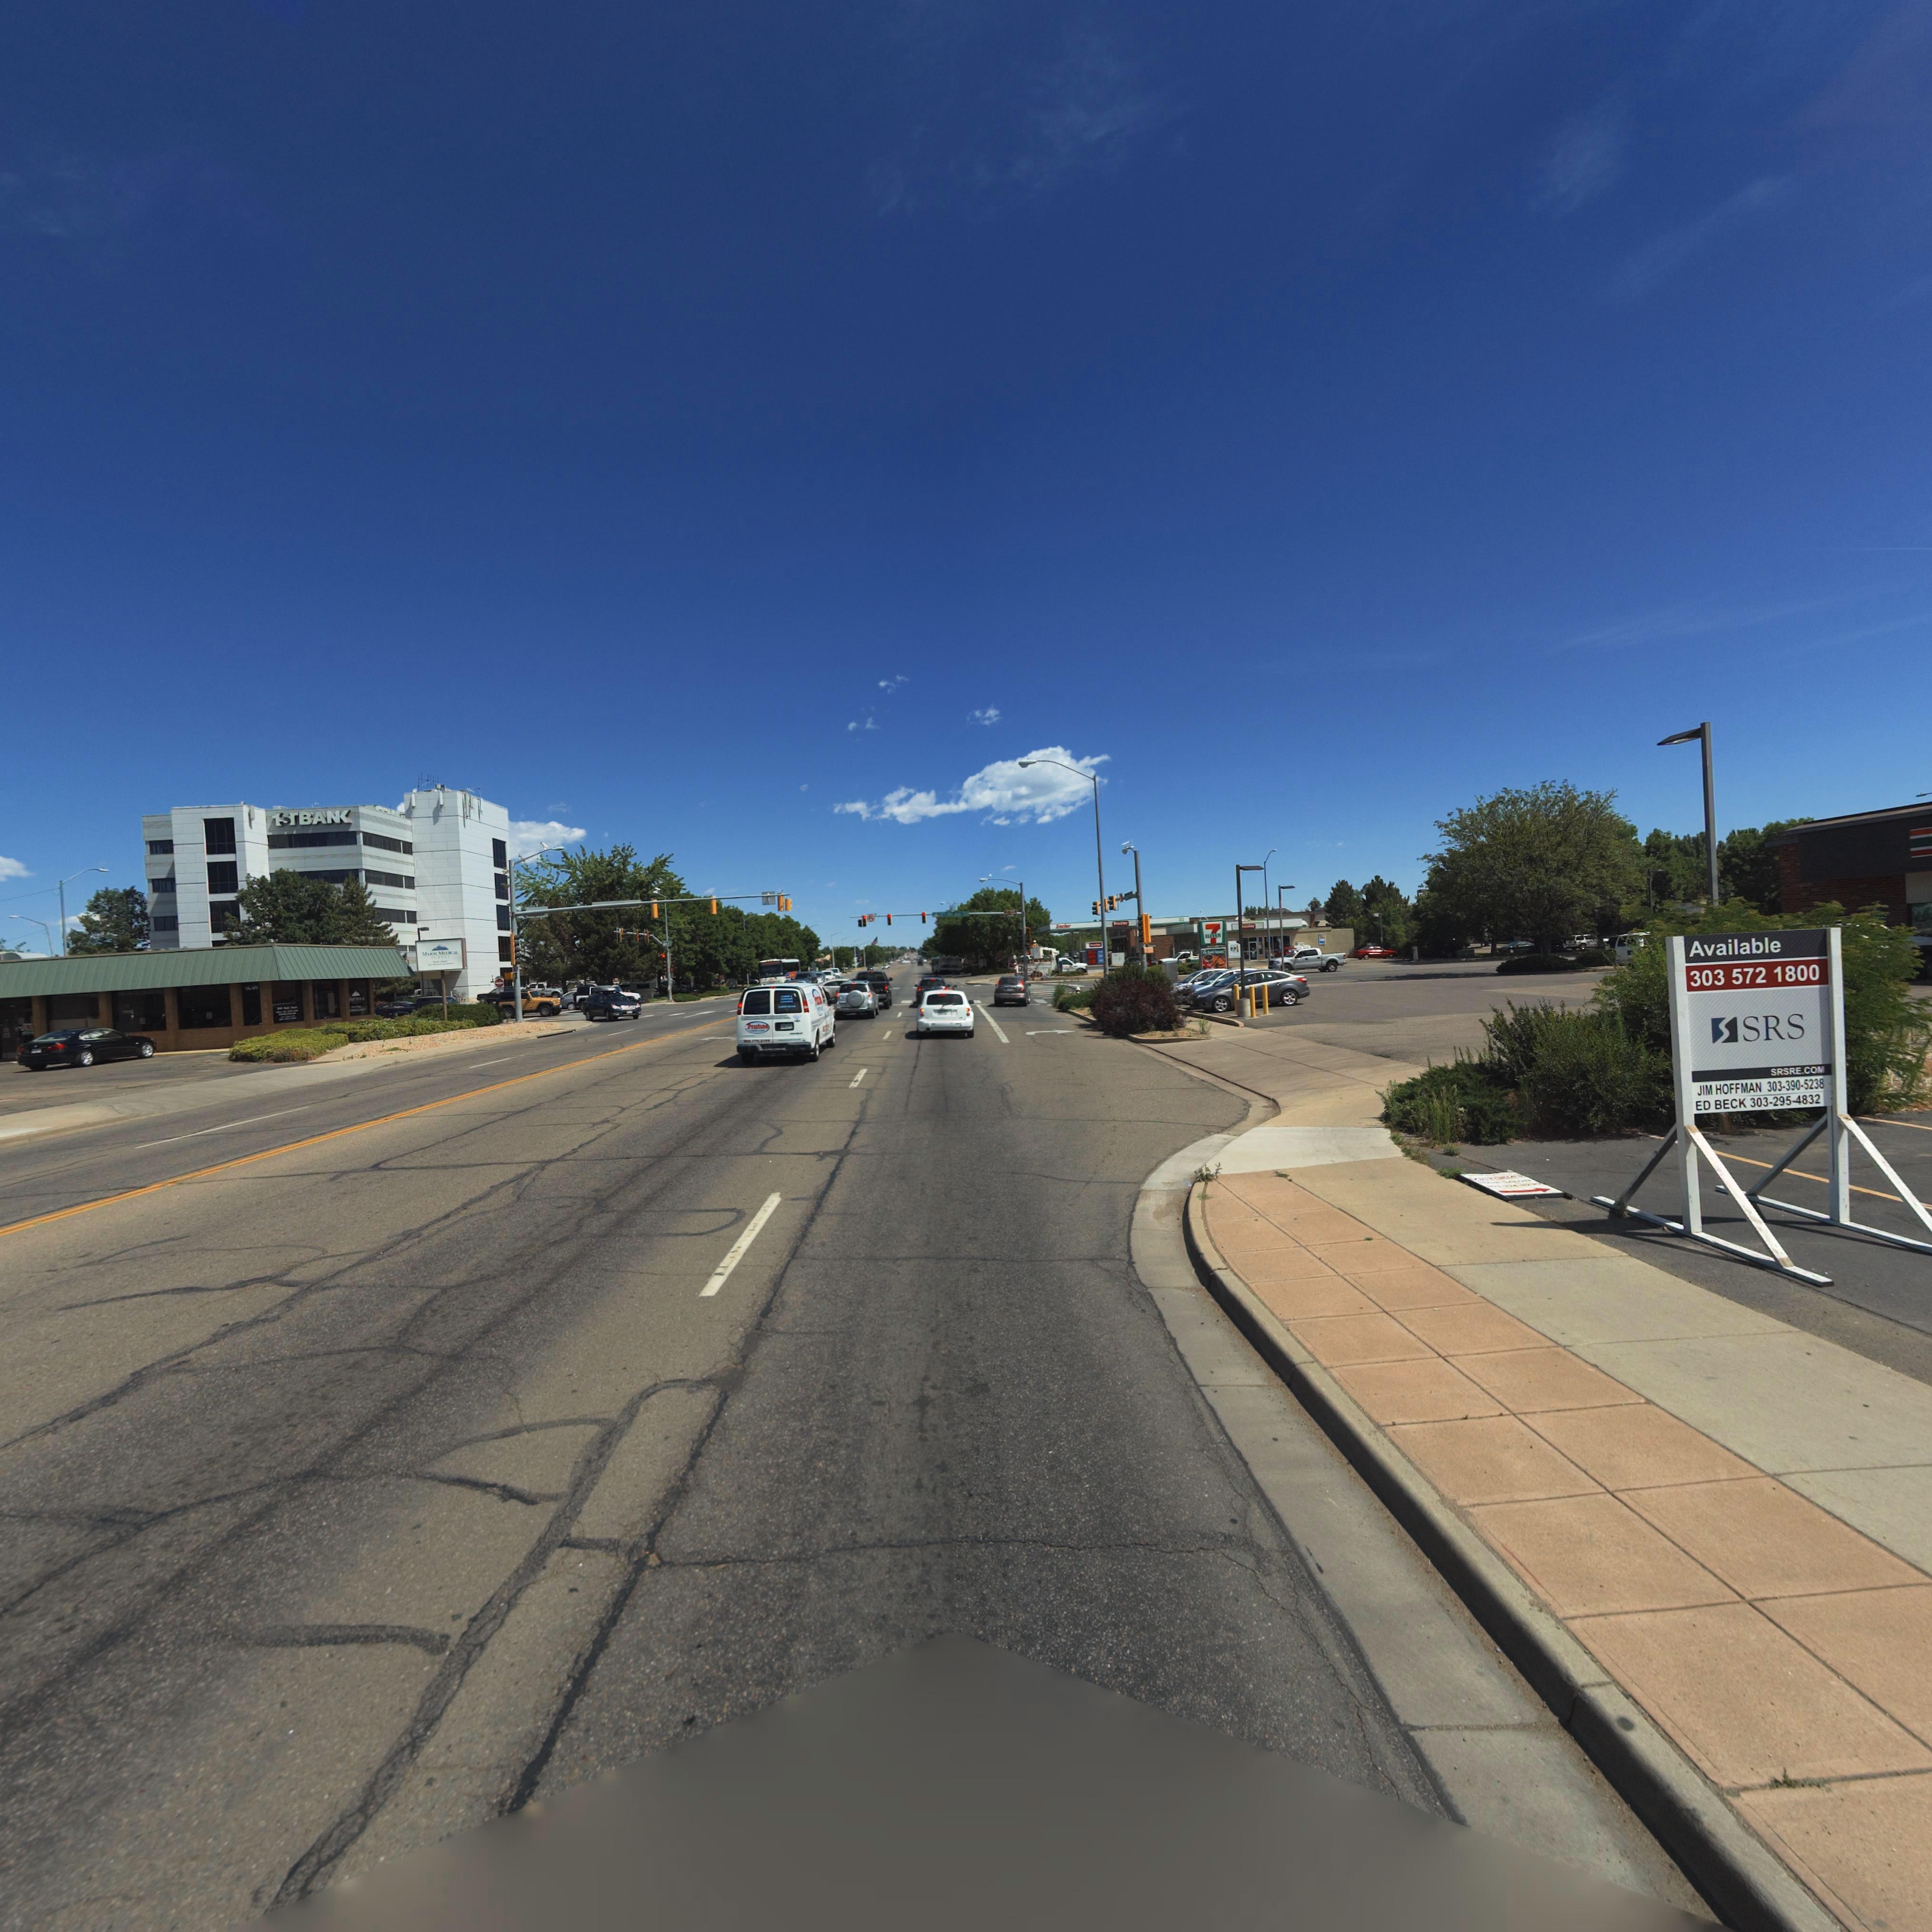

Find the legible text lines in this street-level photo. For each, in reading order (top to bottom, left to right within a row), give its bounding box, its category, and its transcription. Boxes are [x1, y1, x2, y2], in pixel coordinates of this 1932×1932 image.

[270, 809, 353, 827] BusinessName: 1STBAN*
[1054, 923, 1072, 928] BusinessName: S*ncl**r
[1113, 921, 1128, 925] BusinessName: ***d**y
[1241, 924, 1256, 928] BusinessName: **ad**y
[1205, 923, 1220, 944] BusinessName: 7
[1205, 933, 1221, 938] BusinessName: ELEVEn
[422, 950, 459, 956] BusinessName: M**** M*****
[245, 985, 259, 991] StreetNumber: 1**9